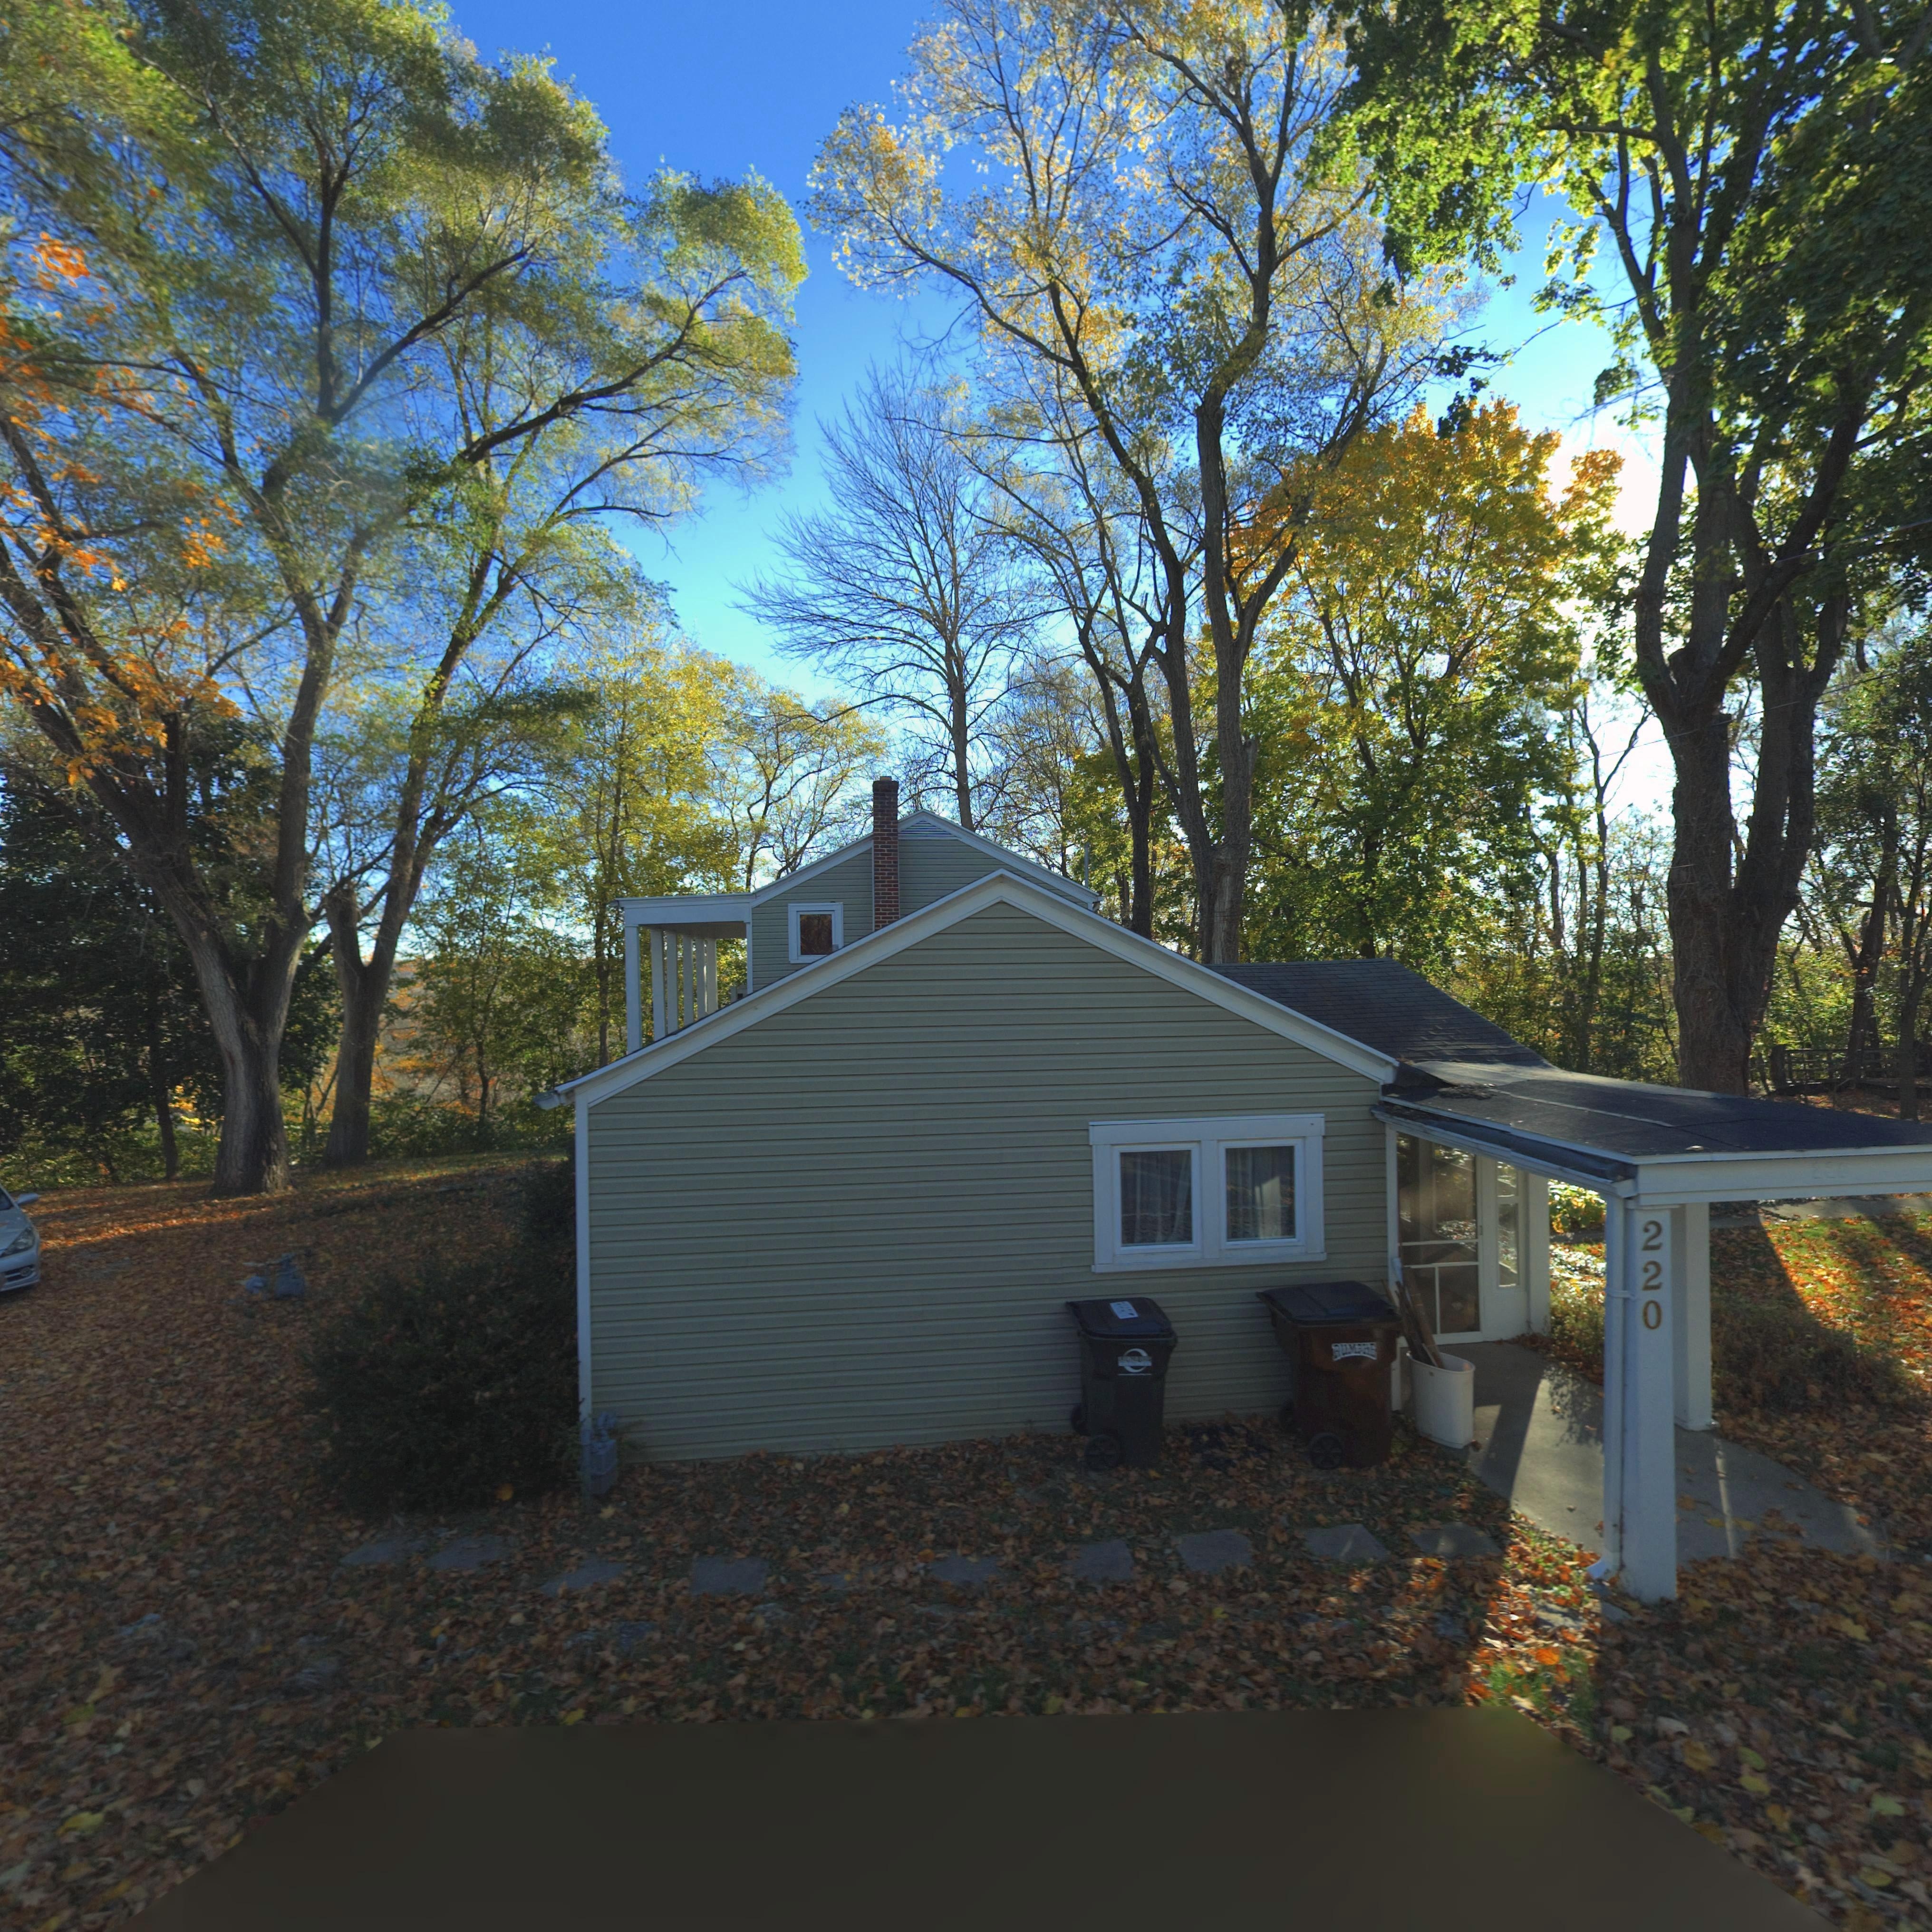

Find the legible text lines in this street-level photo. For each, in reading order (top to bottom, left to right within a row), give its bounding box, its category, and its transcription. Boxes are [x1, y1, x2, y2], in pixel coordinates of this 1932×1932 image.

[1641, 1219, 1664, 1332] StreetNumber: 220